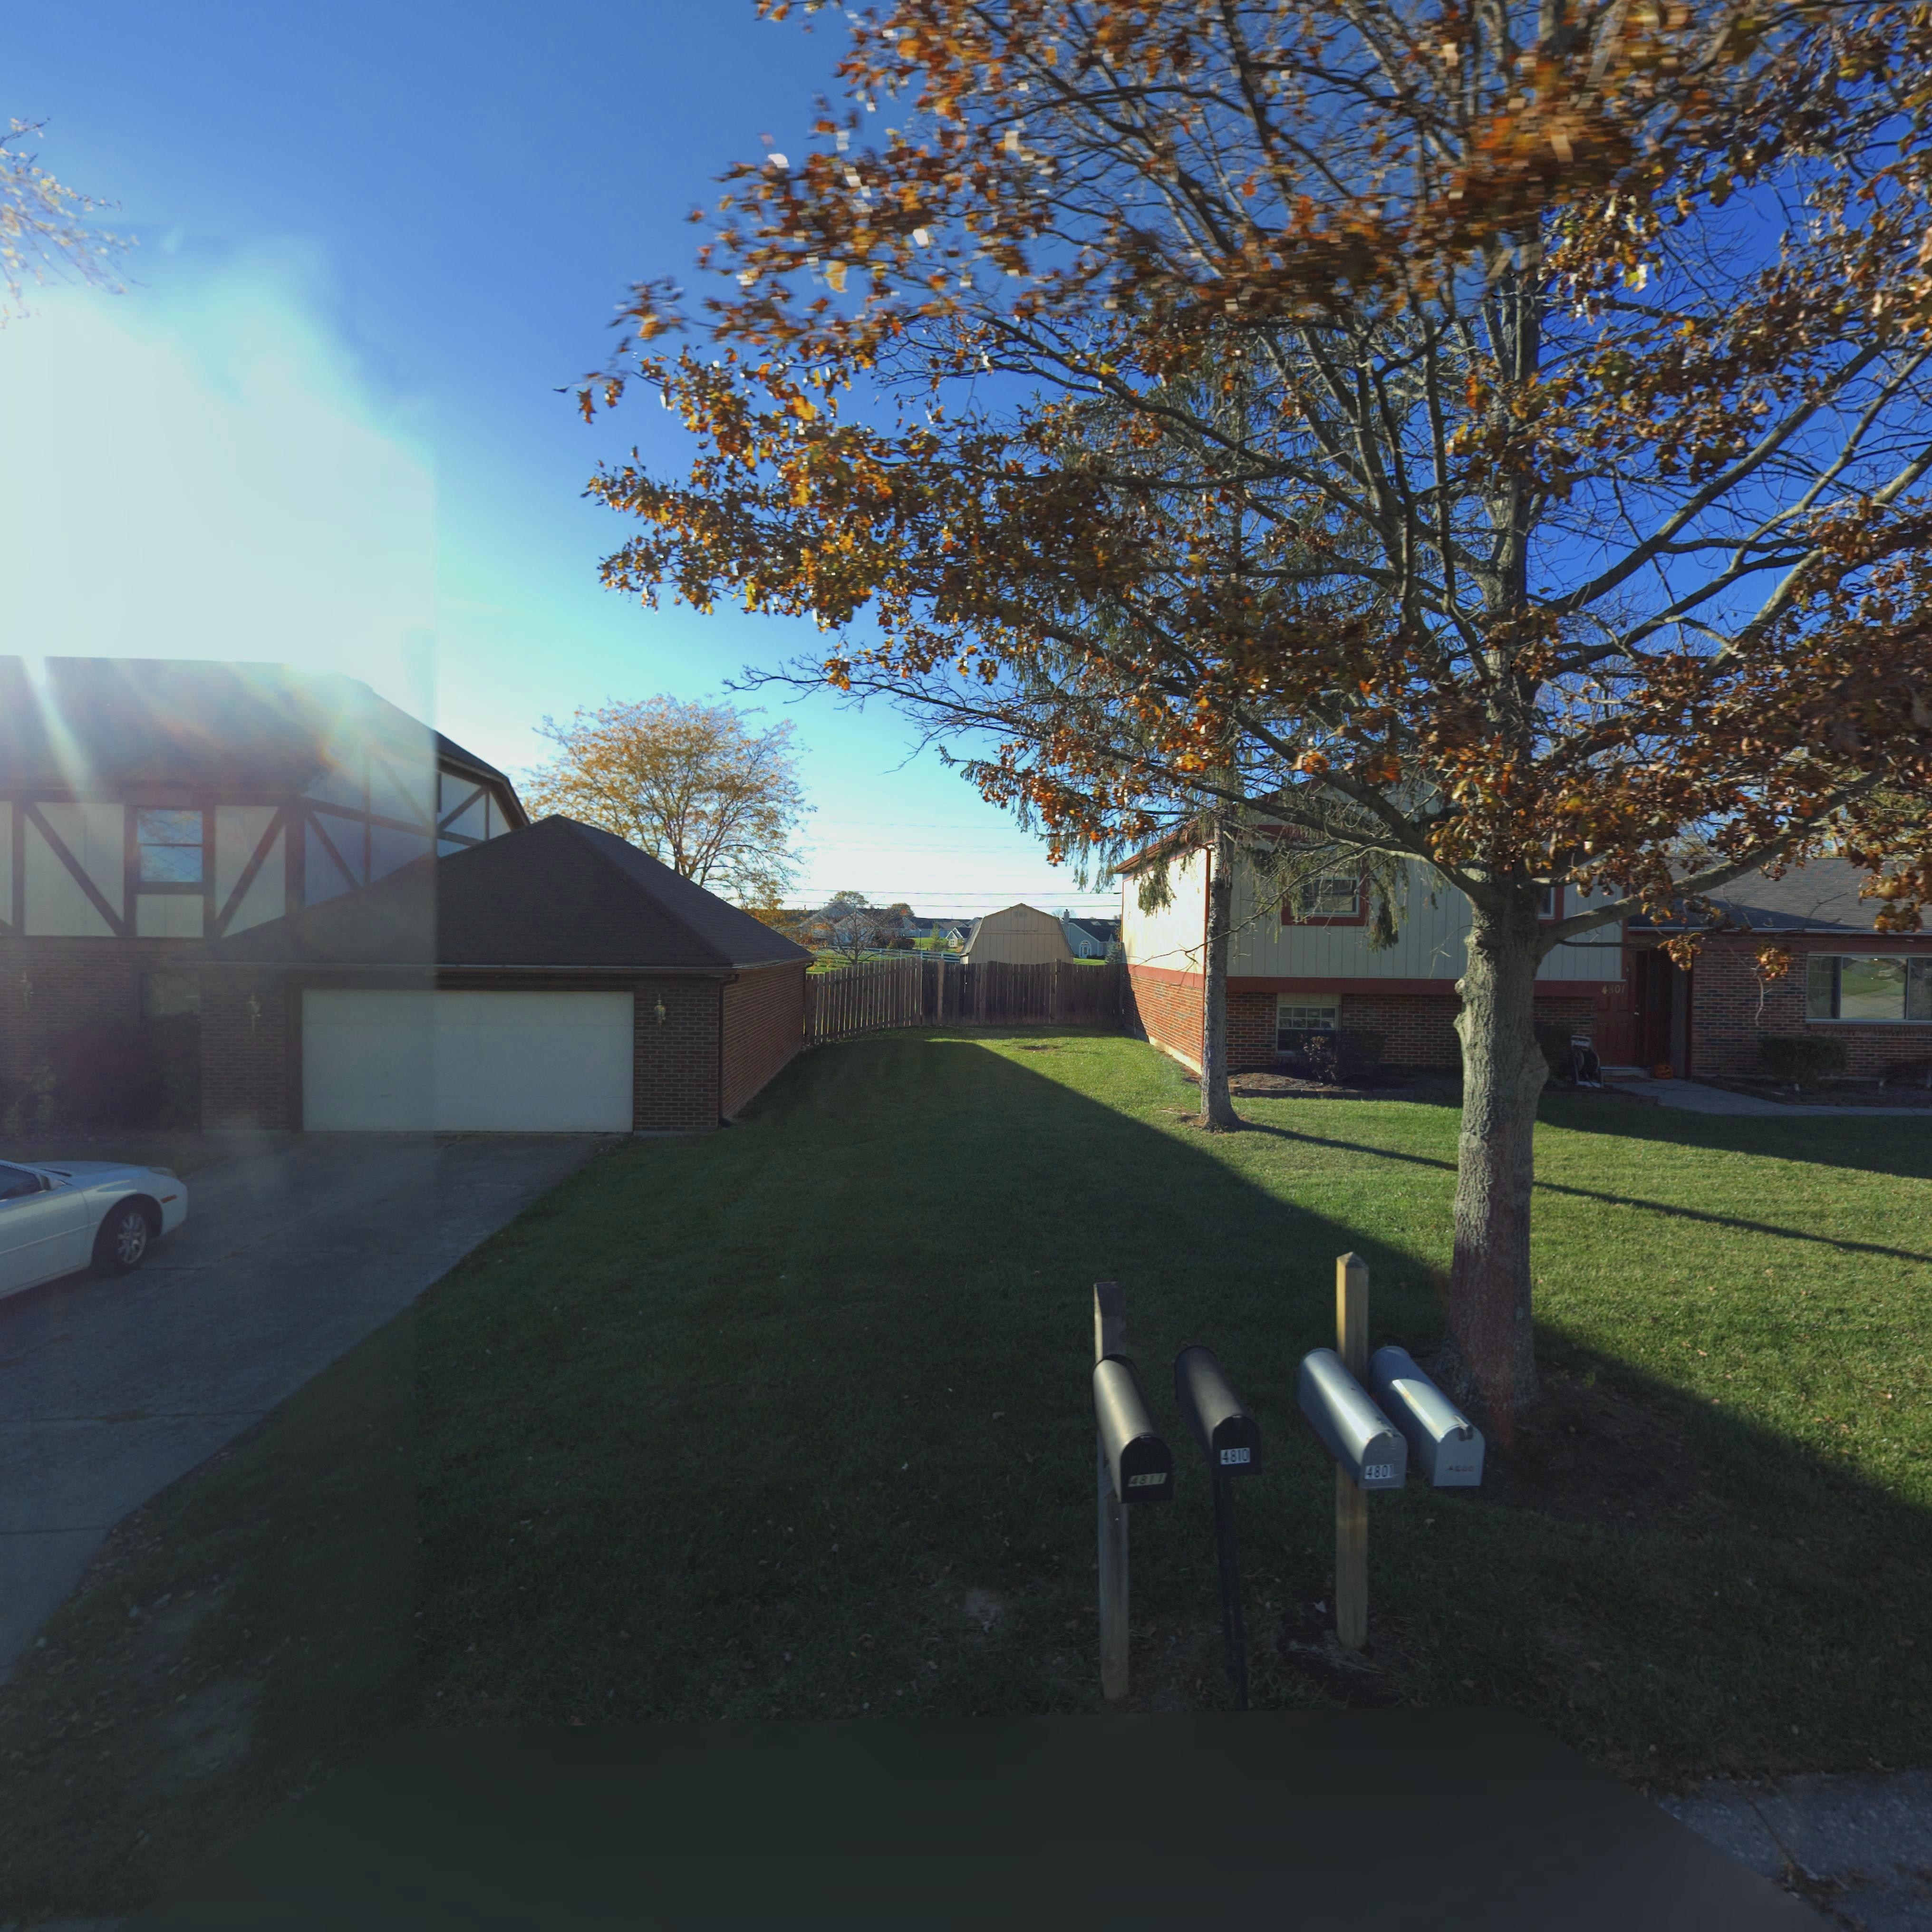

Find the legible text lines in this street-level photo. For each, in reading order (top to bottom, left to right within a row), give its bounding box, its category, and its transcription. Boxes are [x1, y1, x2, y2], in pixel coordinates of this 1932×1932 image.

[1600, 983, 1627, 996] StreetNumber: 4801
[1219, 1447, 1251, 1466] StreetNumber: 4810
[1364, 1463, 1395, 1480] StreetNumber: 4801
[1446, 1464, 1477, 1474] StreetNumber: **00
[1128, 1472, 1166, 1488] StreetNumber: 4811